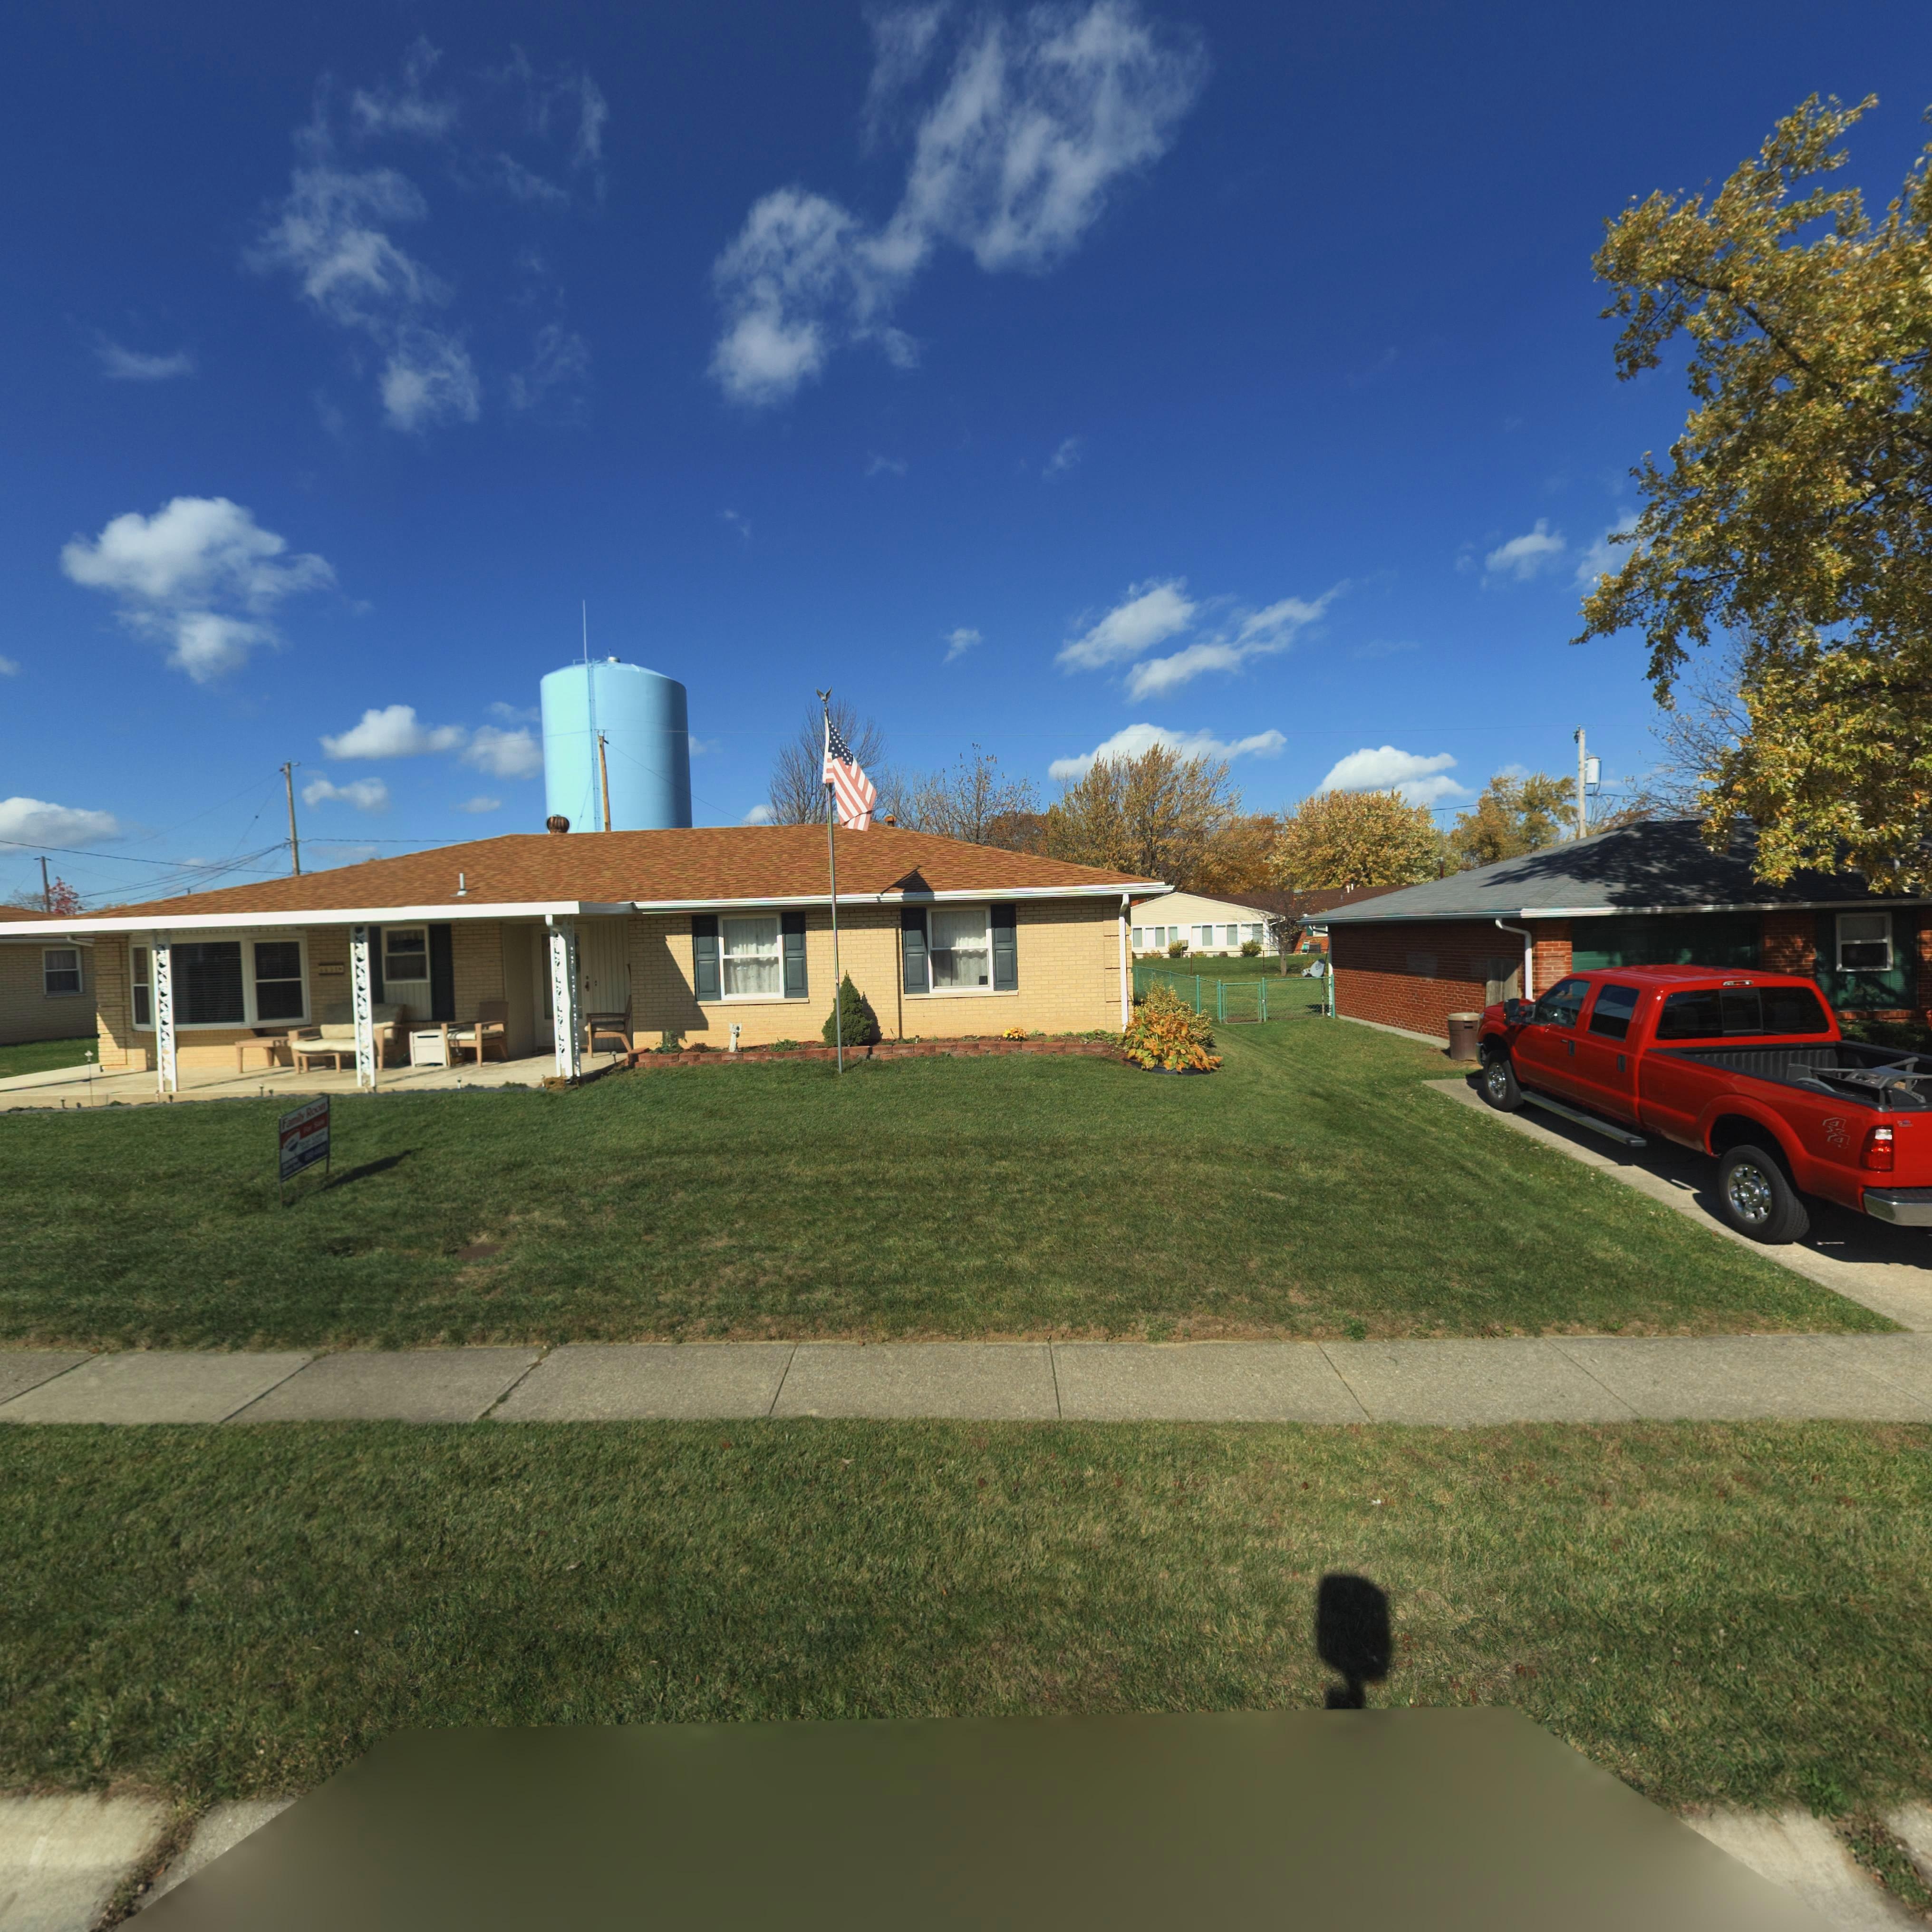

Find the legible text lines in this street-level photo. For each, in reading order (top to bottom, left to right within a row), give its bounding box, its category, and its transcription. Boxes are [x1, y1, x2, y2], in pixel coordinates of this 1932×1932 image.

[319, 966, 338, 974] StreetNumber: 663*
[1851, 986, 1876, 995] StreetNumber: 6630